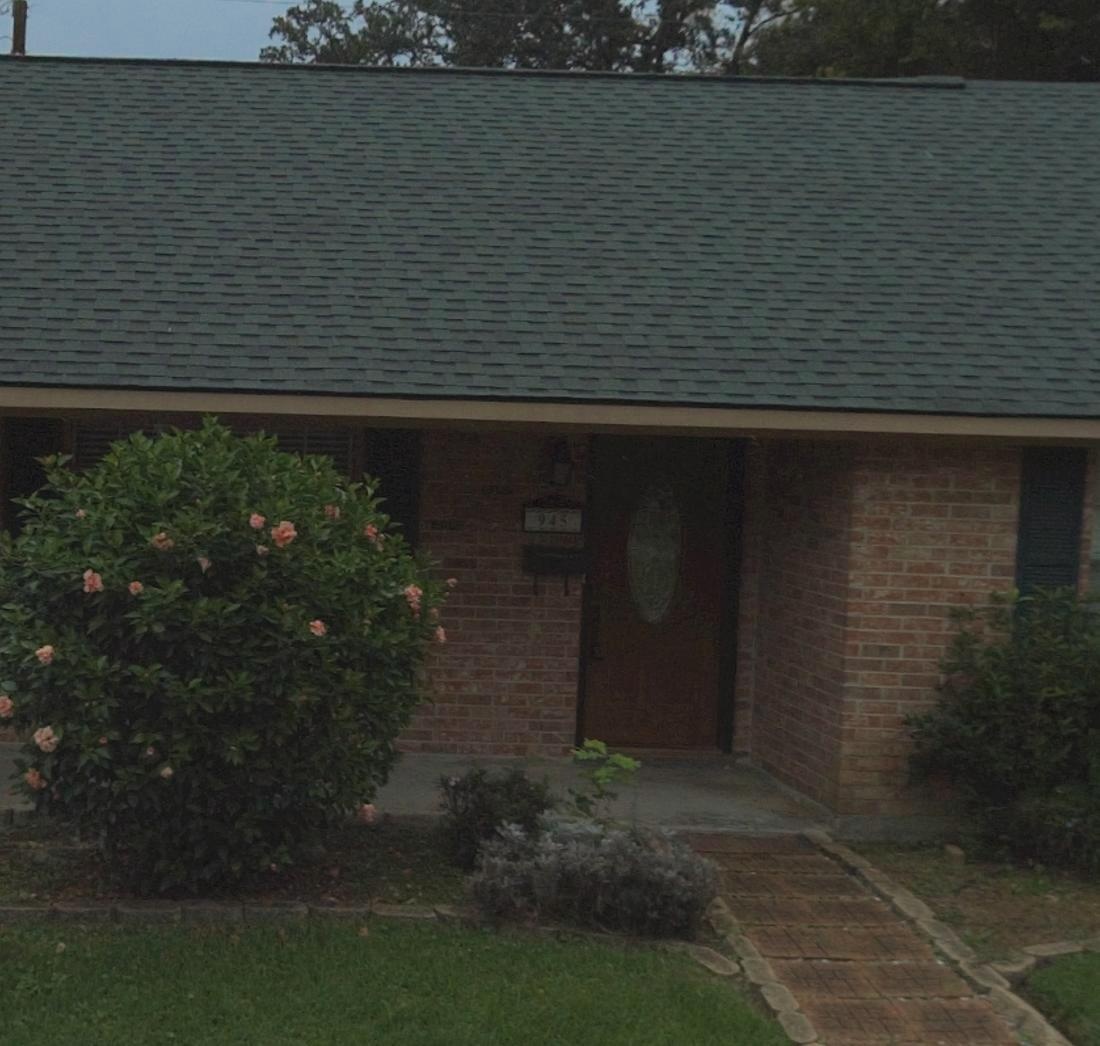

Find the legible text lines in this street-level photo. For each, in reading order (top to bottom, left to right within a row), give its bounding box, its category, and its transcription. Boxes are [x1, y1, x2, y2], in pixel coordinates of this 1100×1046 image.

[536, 512, 568, 528] StreetNumber: 945